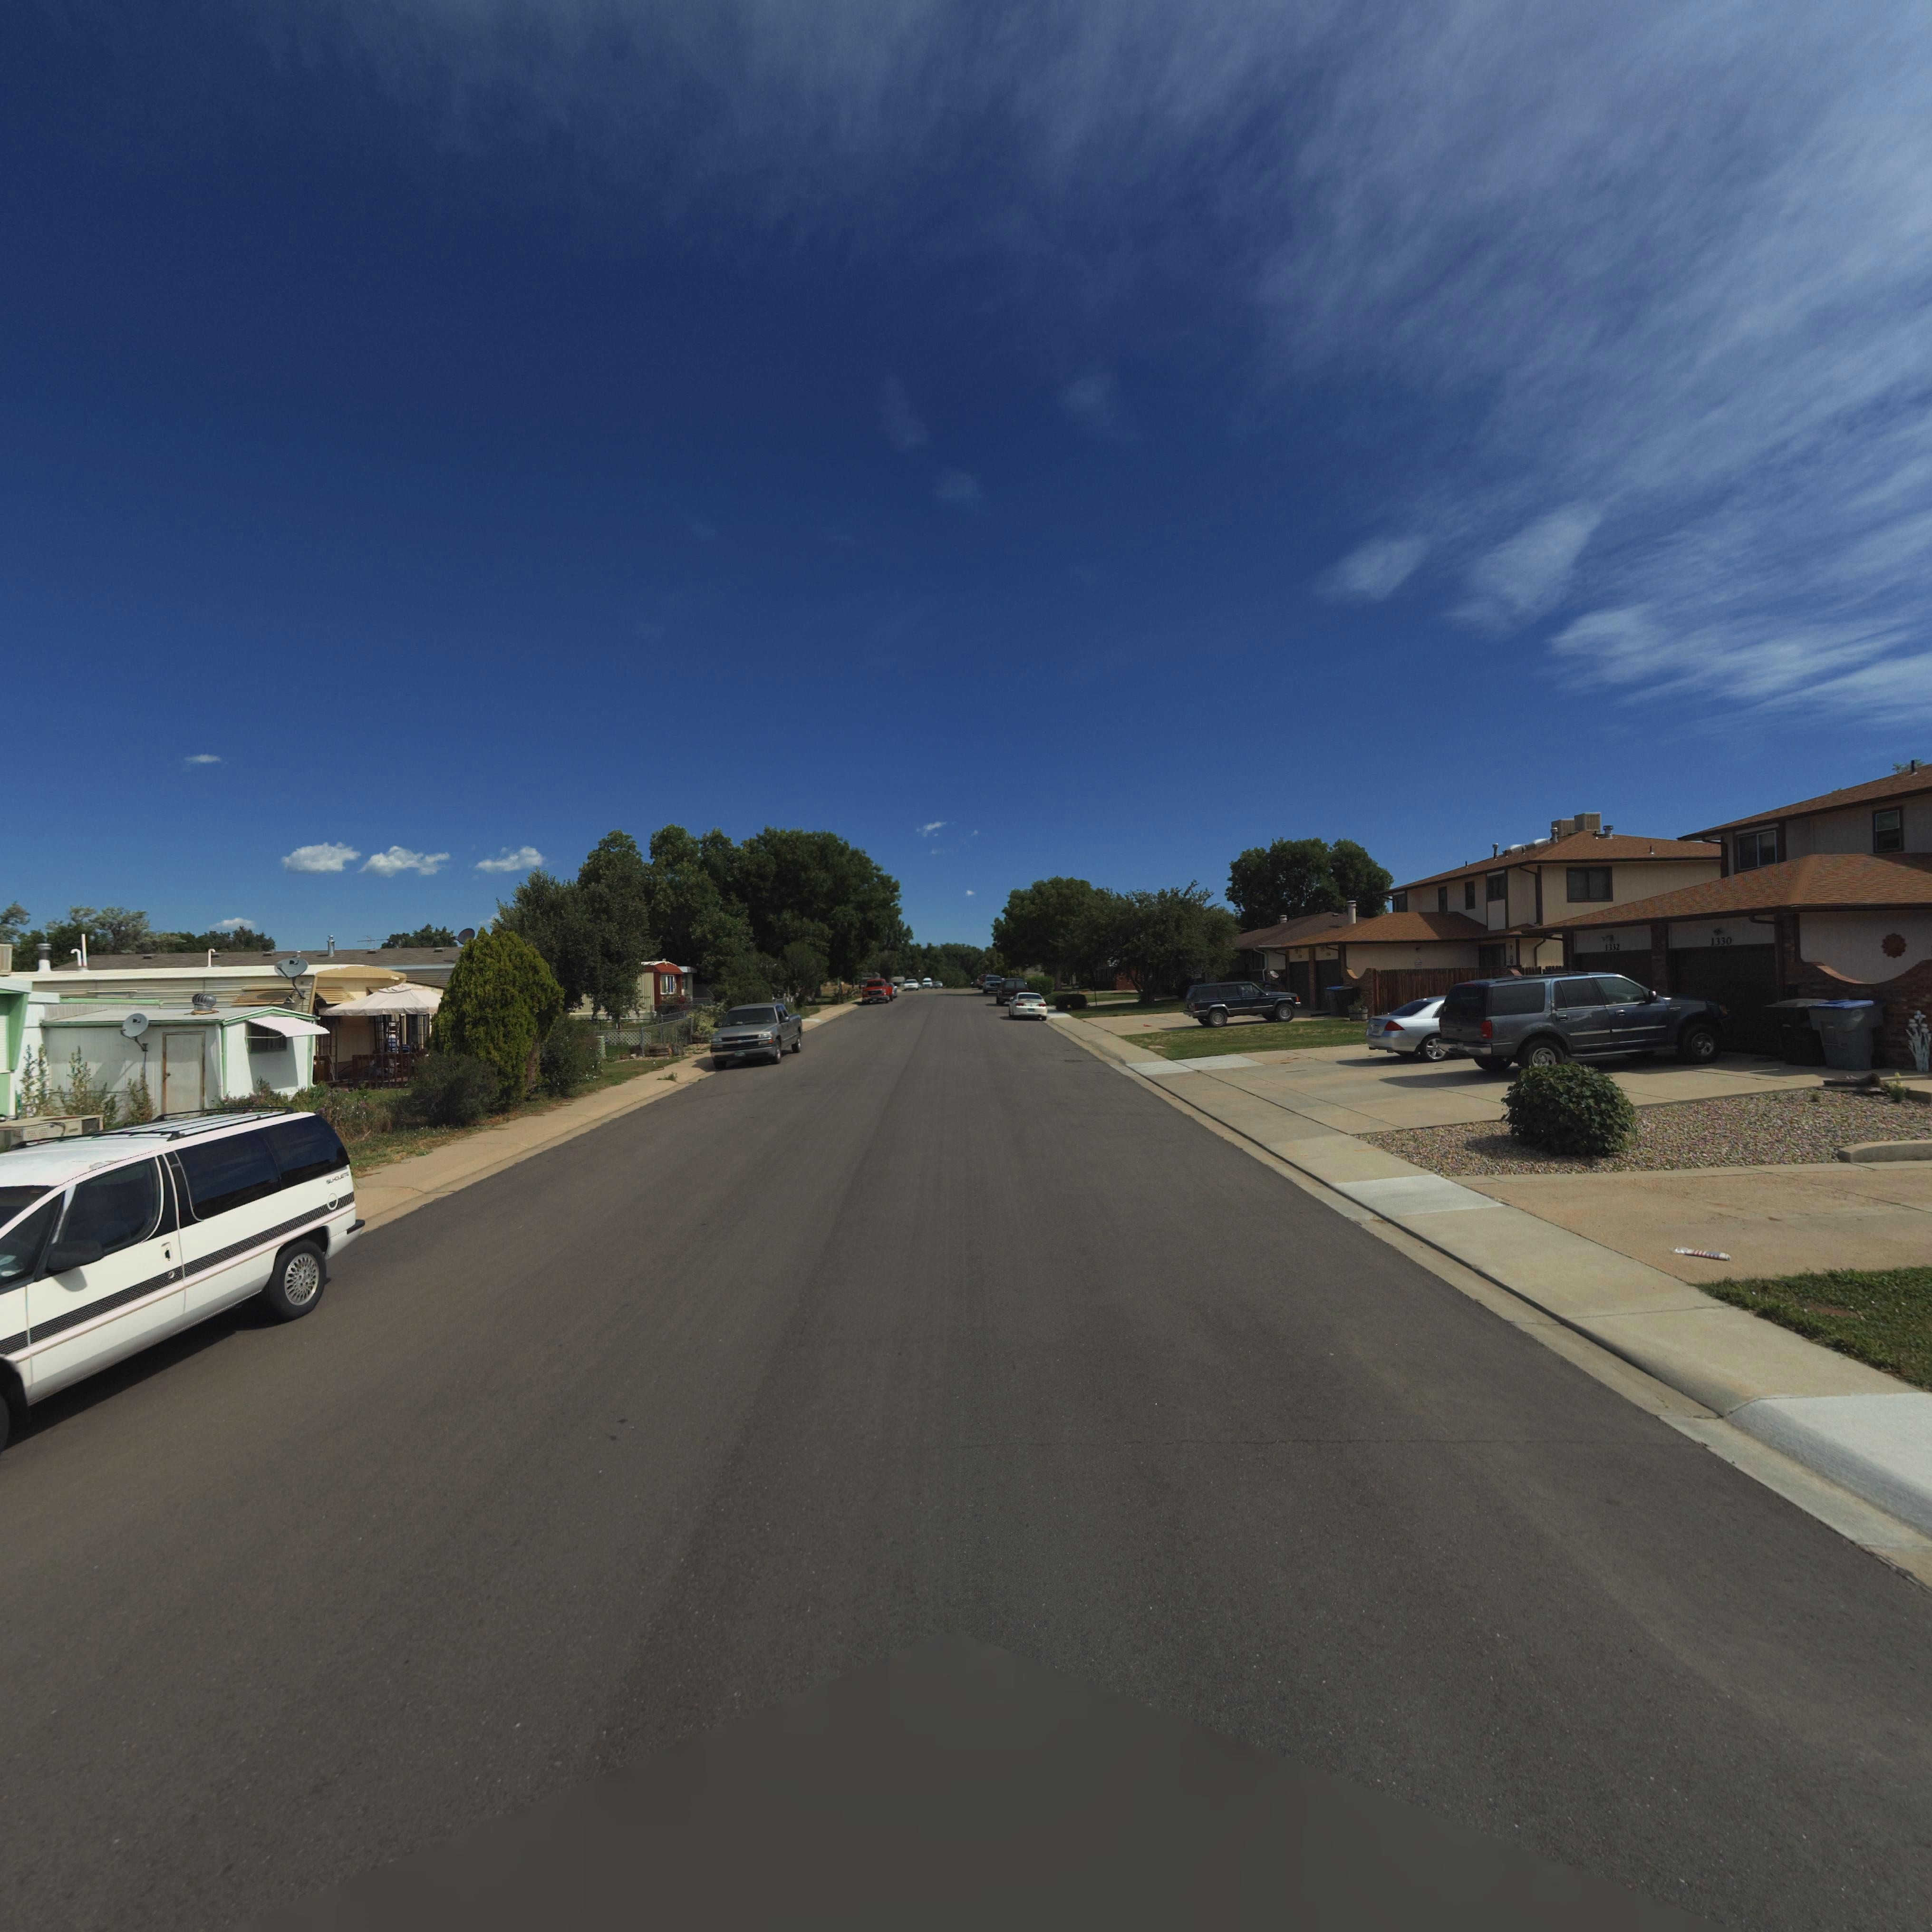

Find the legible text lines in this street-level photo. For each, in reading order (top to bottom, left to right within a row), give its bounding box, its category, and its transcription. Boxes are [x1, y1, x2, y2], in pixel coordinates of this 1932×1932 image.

[1710, 936, 1732, 946] StreetNumber: 1330
[1604, 943, 1620, 951] StreetNumber: 1332